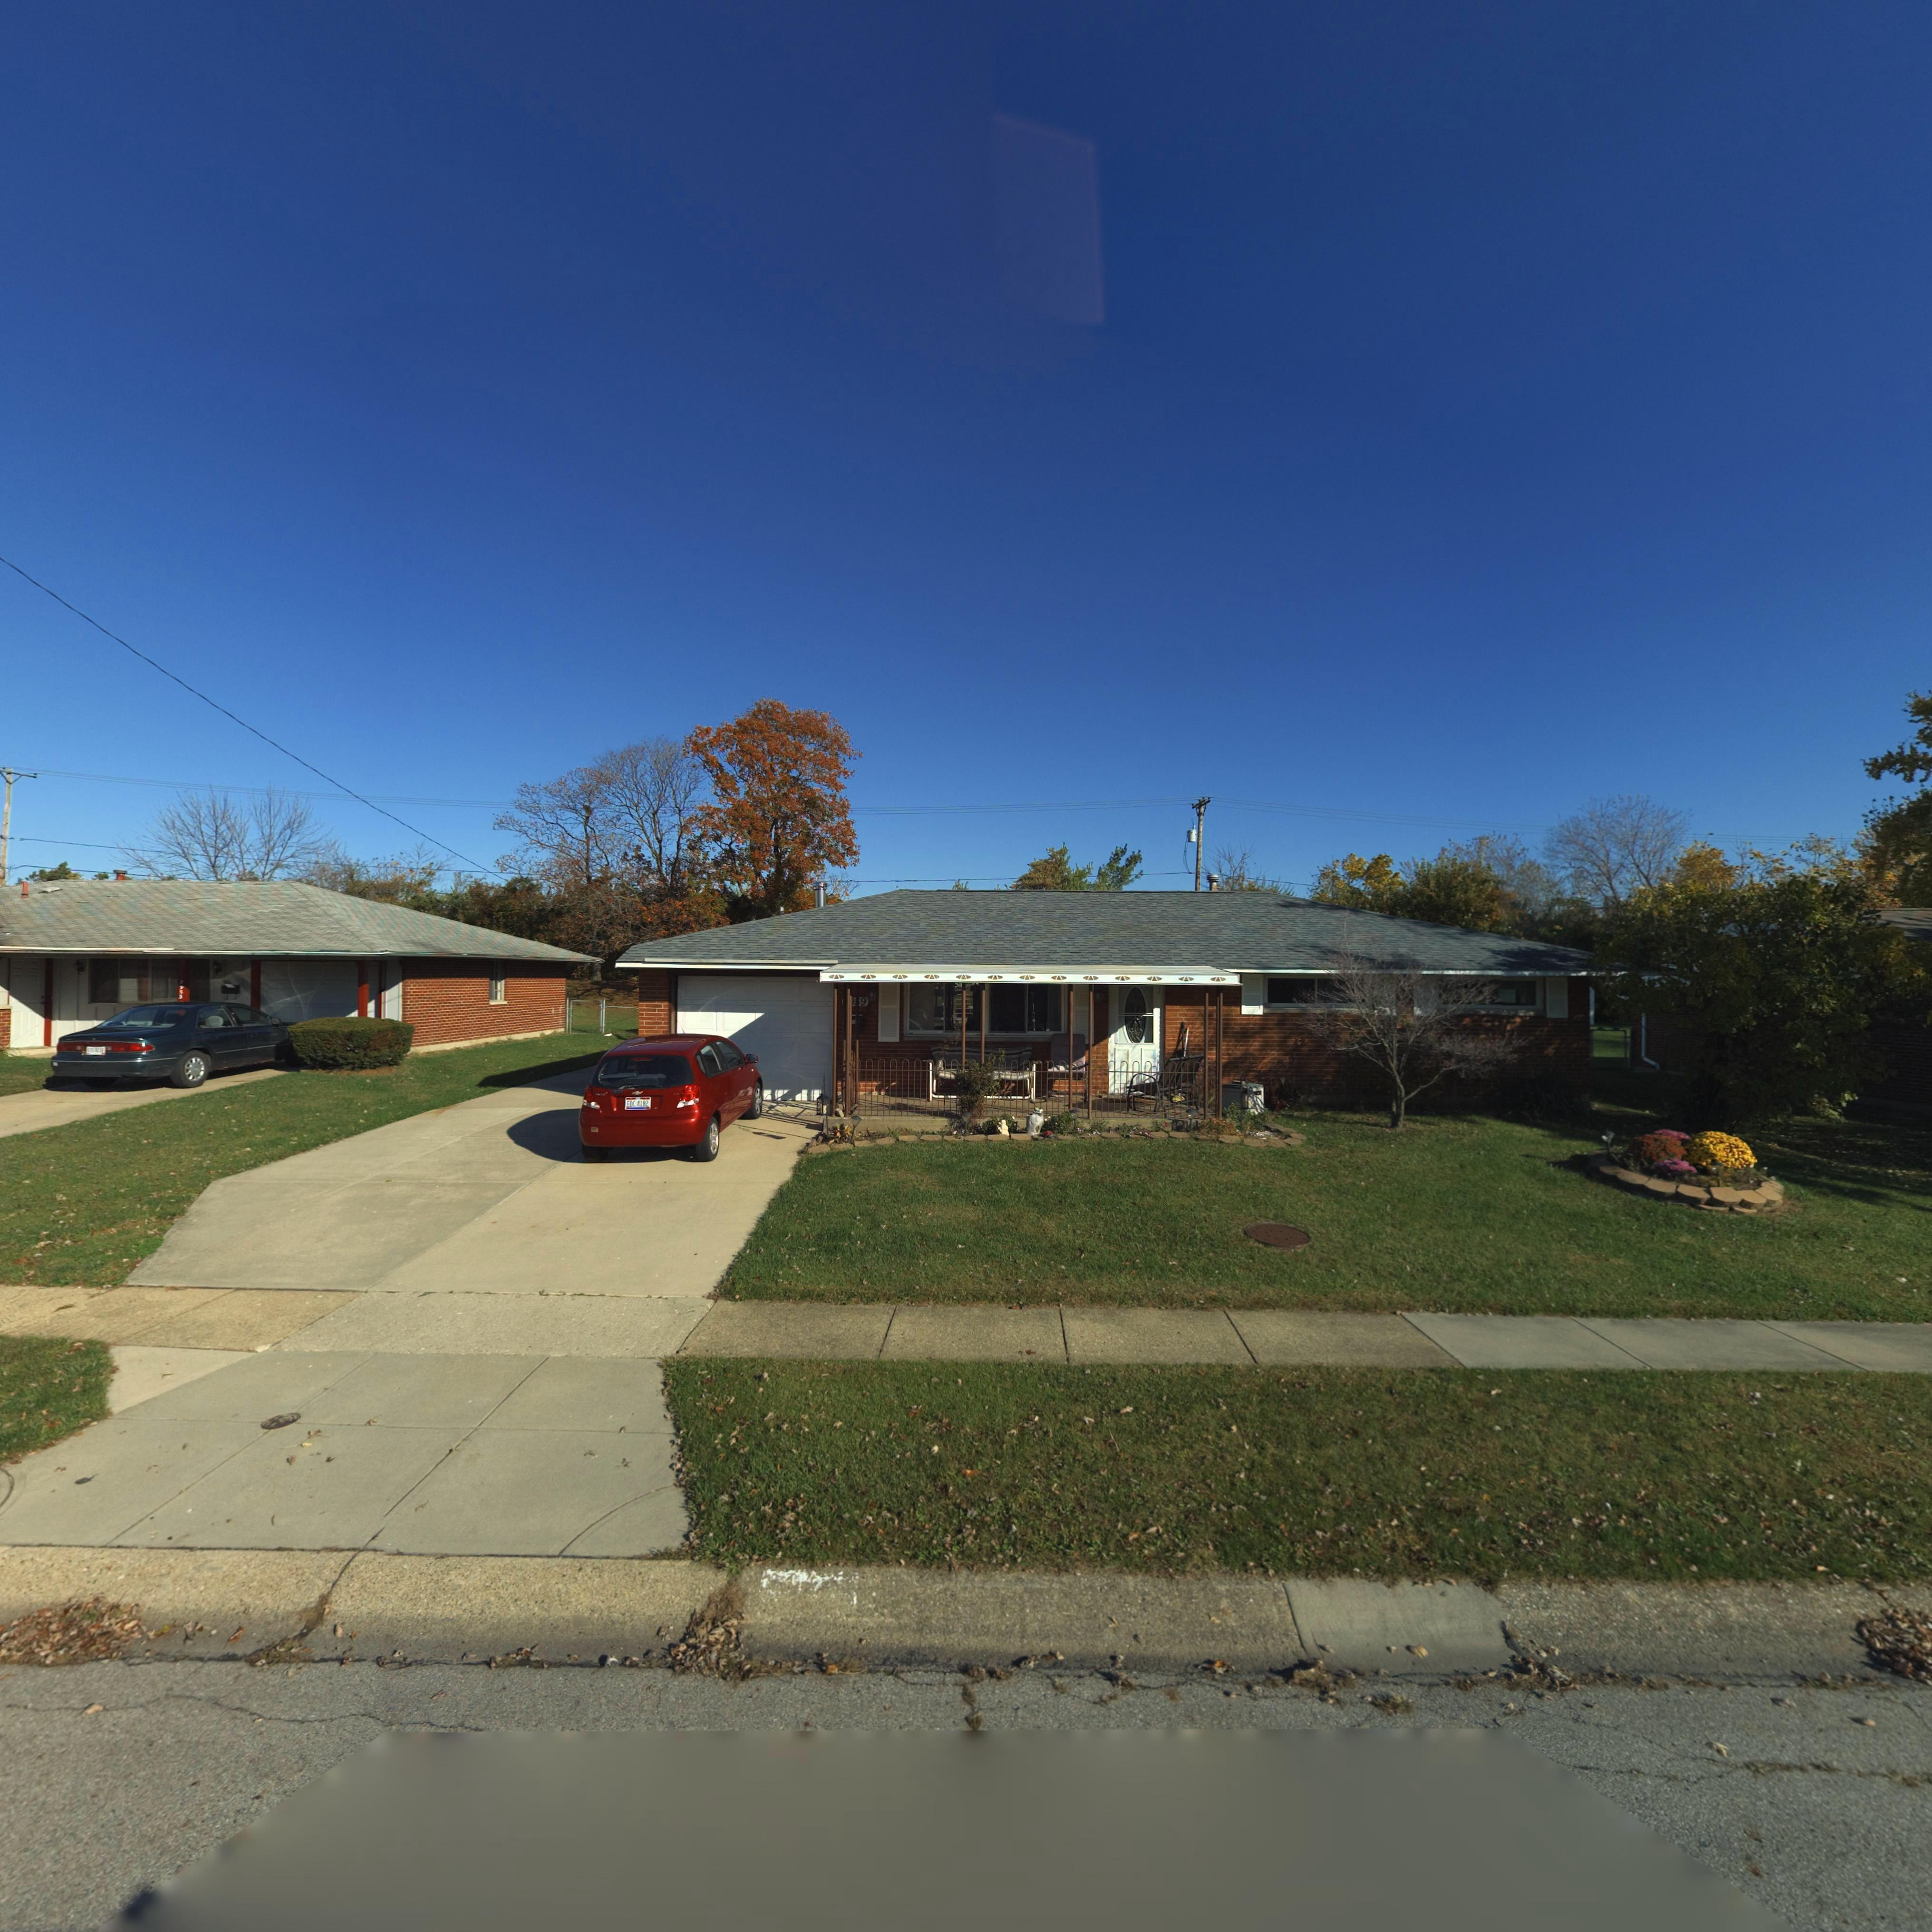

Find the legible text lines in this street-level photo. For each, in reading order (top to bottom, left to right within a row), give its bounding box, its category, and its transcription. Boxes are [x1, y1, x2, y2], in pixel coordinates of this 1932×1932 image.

[860, 997, 867, 1006] StreetNumber: 9